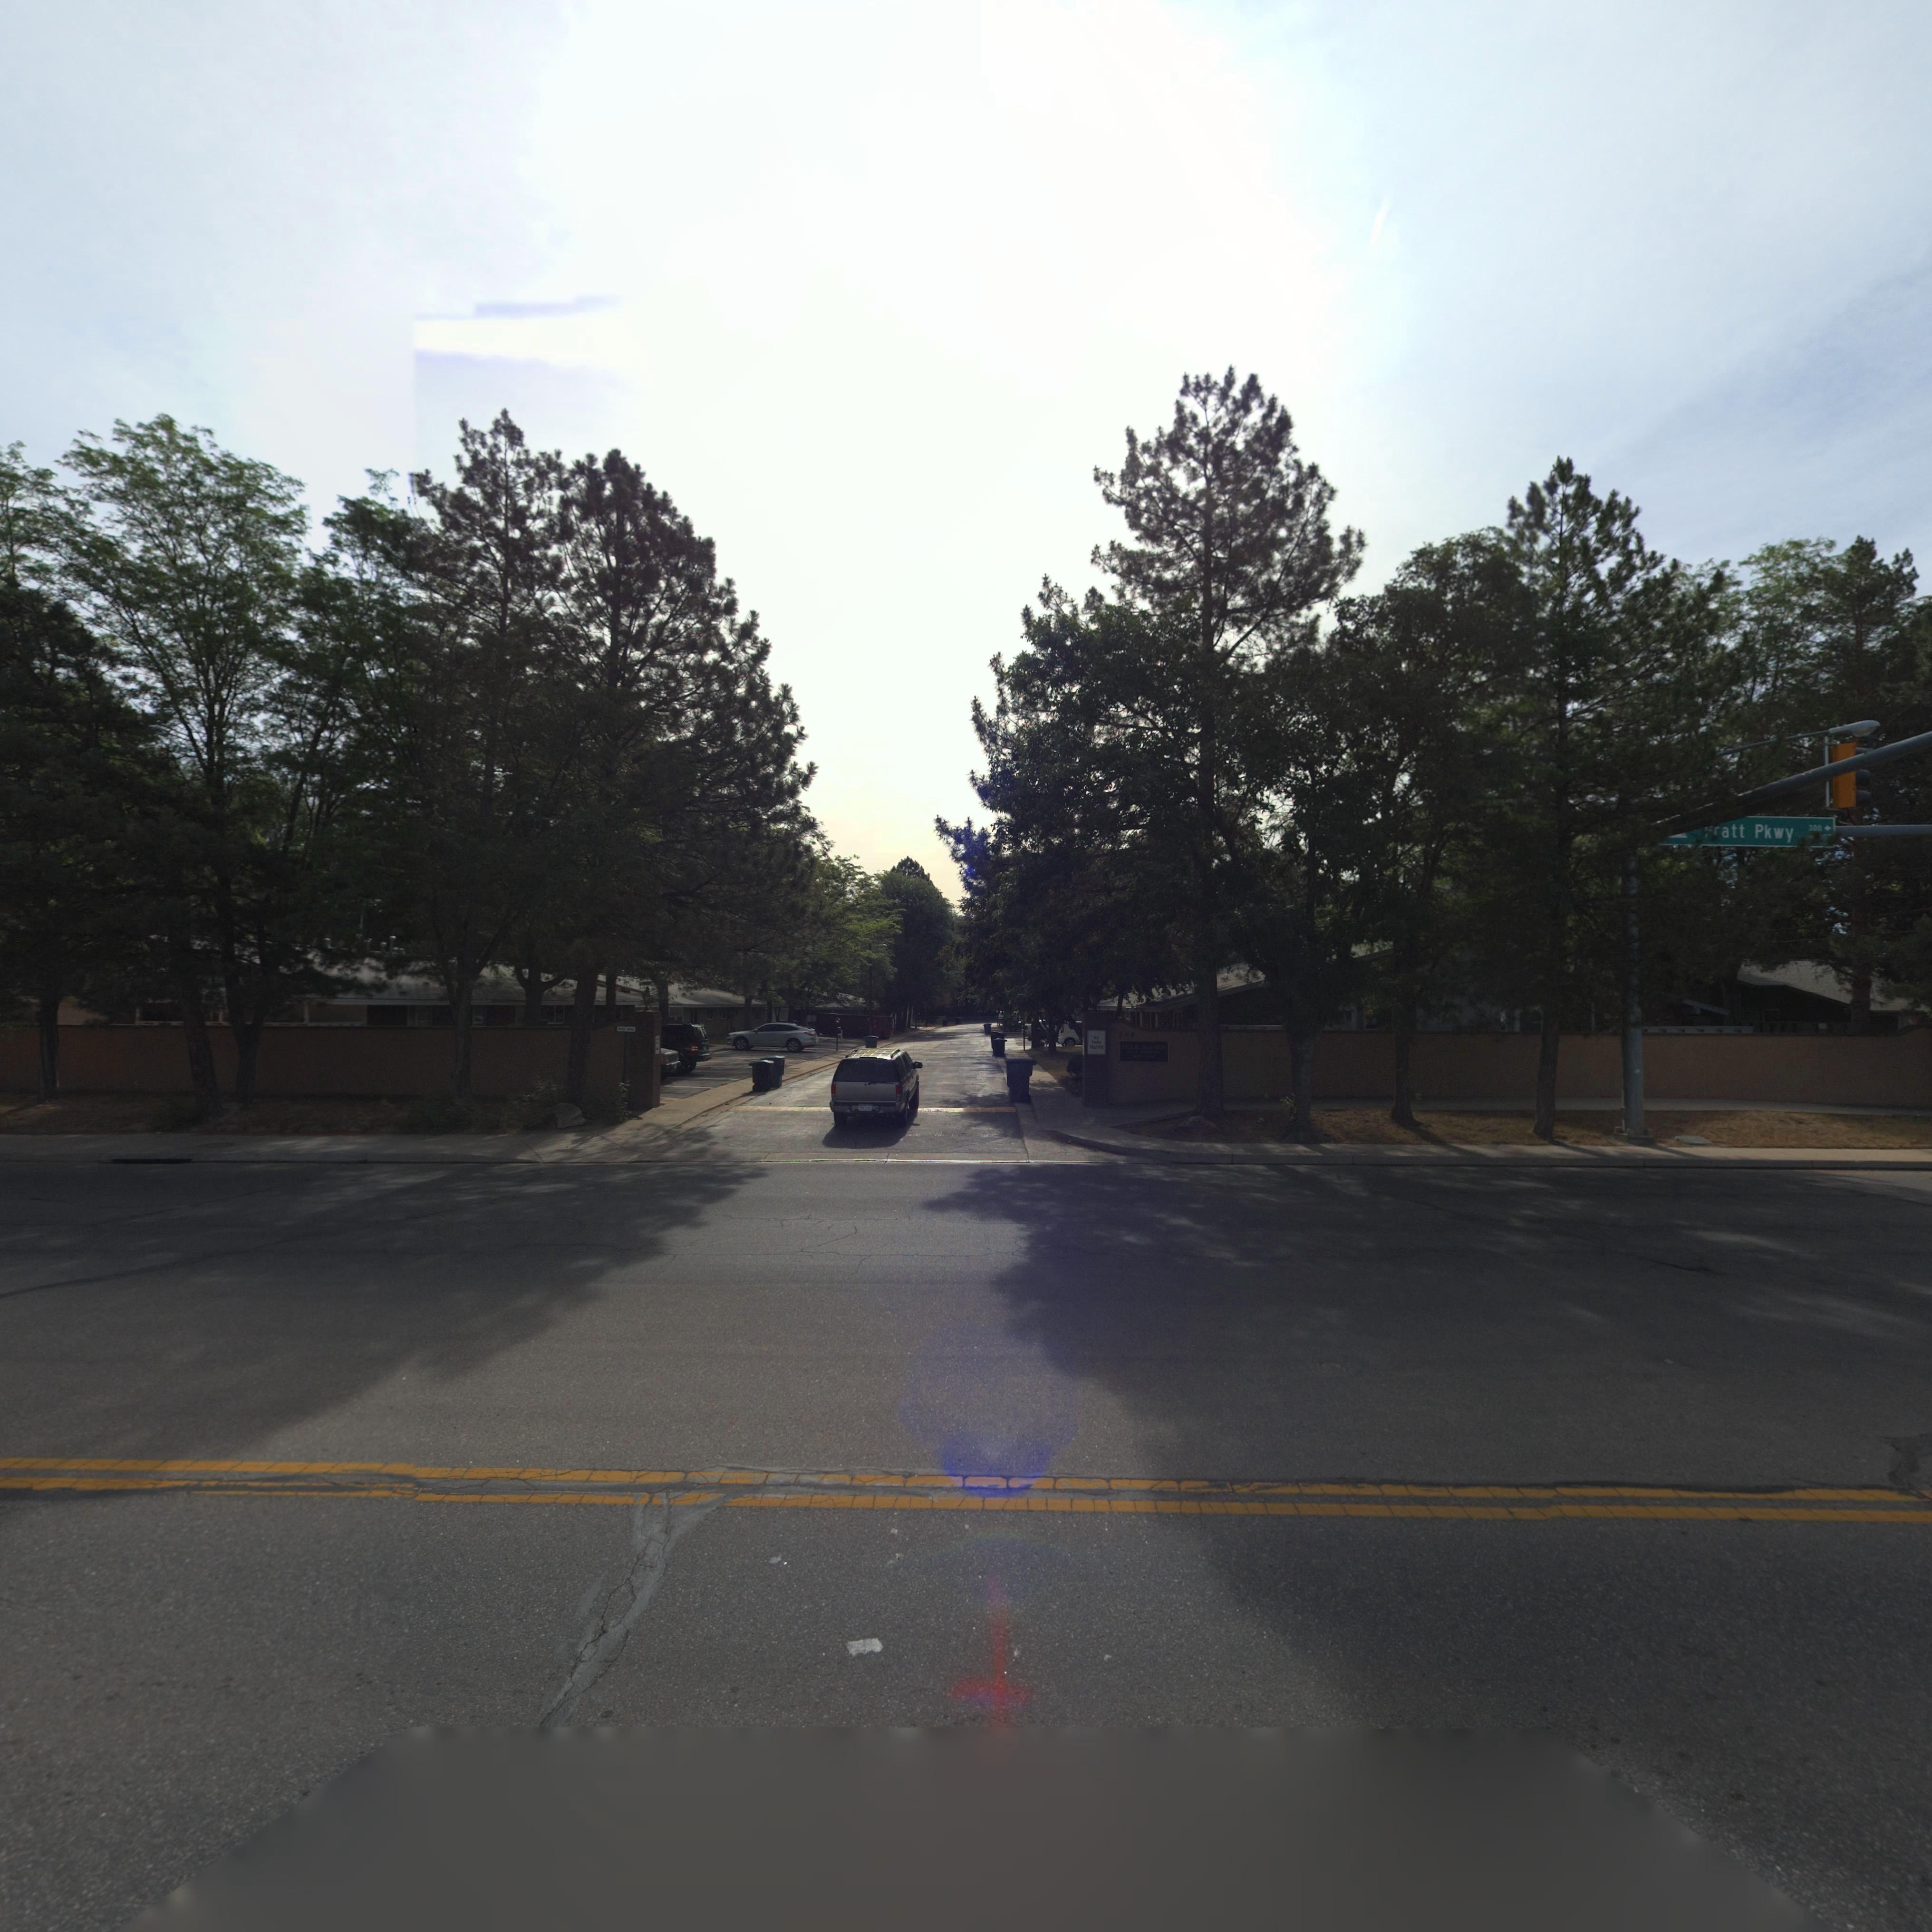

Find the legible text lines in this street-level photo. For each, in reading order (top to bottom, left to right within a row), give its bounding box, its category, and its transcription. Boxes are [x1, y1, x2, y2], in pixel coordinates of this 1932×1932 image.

[1807, 824, 1833, 831] StreetNumberRange: 300->
[1703, 822, 1794, 844] StreetName: *ratt Pkwy
[1118, 1032, 1135, 1037] StreetNumber: 200